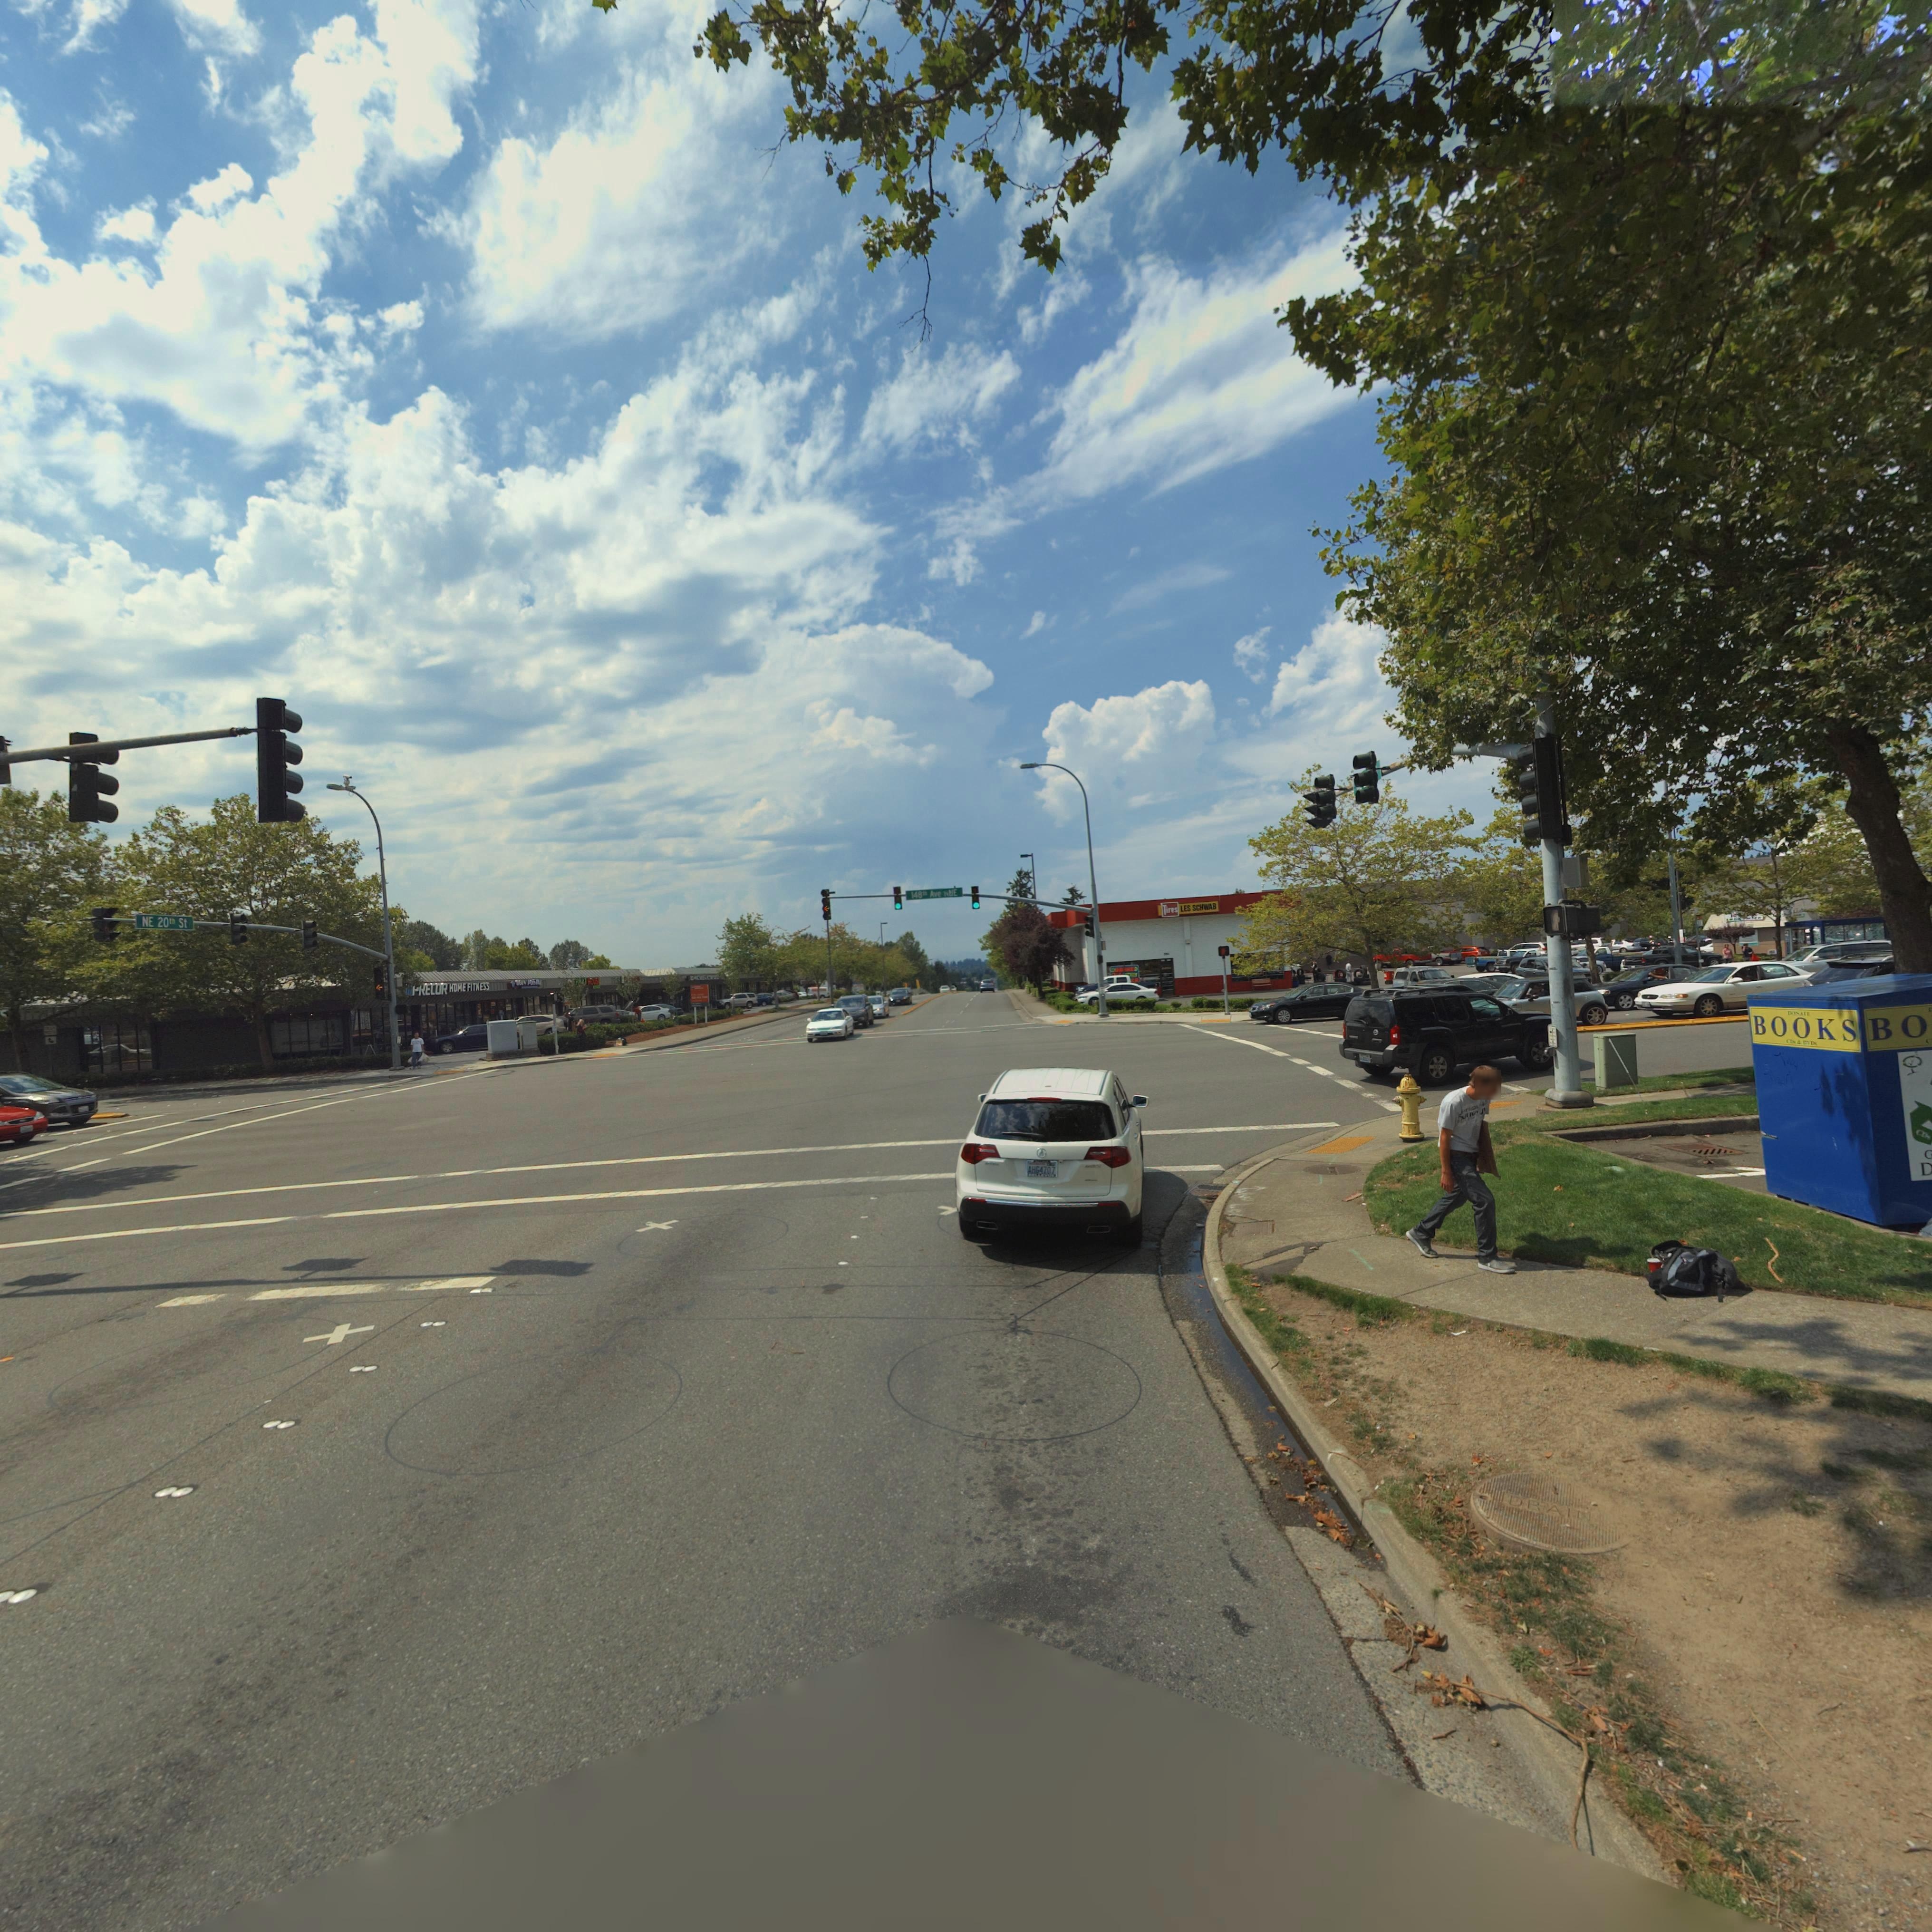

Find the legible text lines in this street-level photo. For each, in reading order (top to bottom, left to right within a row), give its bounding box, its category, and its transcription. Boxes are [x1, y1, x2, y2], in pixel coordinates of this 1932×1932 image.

[910, 888, 958, 899] StreetName: 148th Ave *NE
[1162, 904, 1178, 915] BusinessName: Tires
[1179, 902, 1217, 912] BusinessName: LES SCHWAB
[142, 915, 187, 928] StreetName: NE 20th St
[516, 979, 542, 986] BusinessName: *OIN POSTAL
[584, 976, 600, 985] BusinessName: T HOUSE
[418, 982, 490, 996] BusinessName: RECOR HOME FITNESS